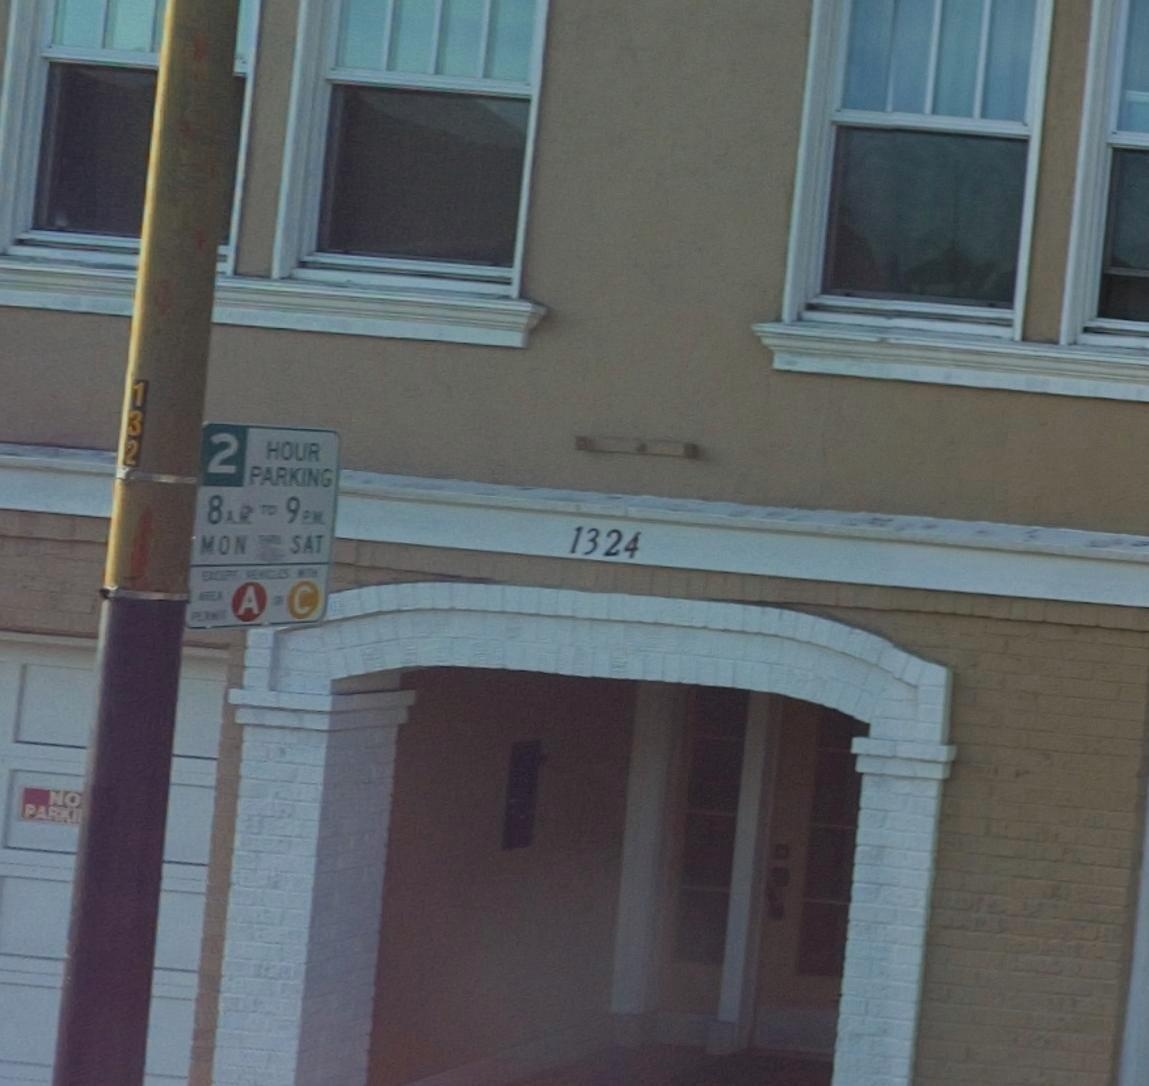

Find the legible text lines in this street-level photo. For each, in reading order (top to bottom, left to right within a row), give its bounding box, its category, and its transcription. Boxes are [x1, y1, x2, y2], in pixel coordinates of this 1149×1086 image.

[120, 376, 151, 469] None: 132
[205, 430, 244, 478] None: 2
[262, 435, 324, 465] None: HOUR
[246, 462, 336, 491] None: PARKING
[205, 493, 330, 528] None: 8AM TO 9PM
[197, 531, 249, 559] None: MON
[288, 532, 326, 558] None: SAT
[565, 520, 646, 562] StreetNumber: 1324
[197, 566, 239, 584] None: EXPECT
[233, 581, 263, 617] None: A
[289, 582, 317, 617] None: C
[47, 788, 82, 808] None: NO
[23, 801, 78, 826] None: PARKI